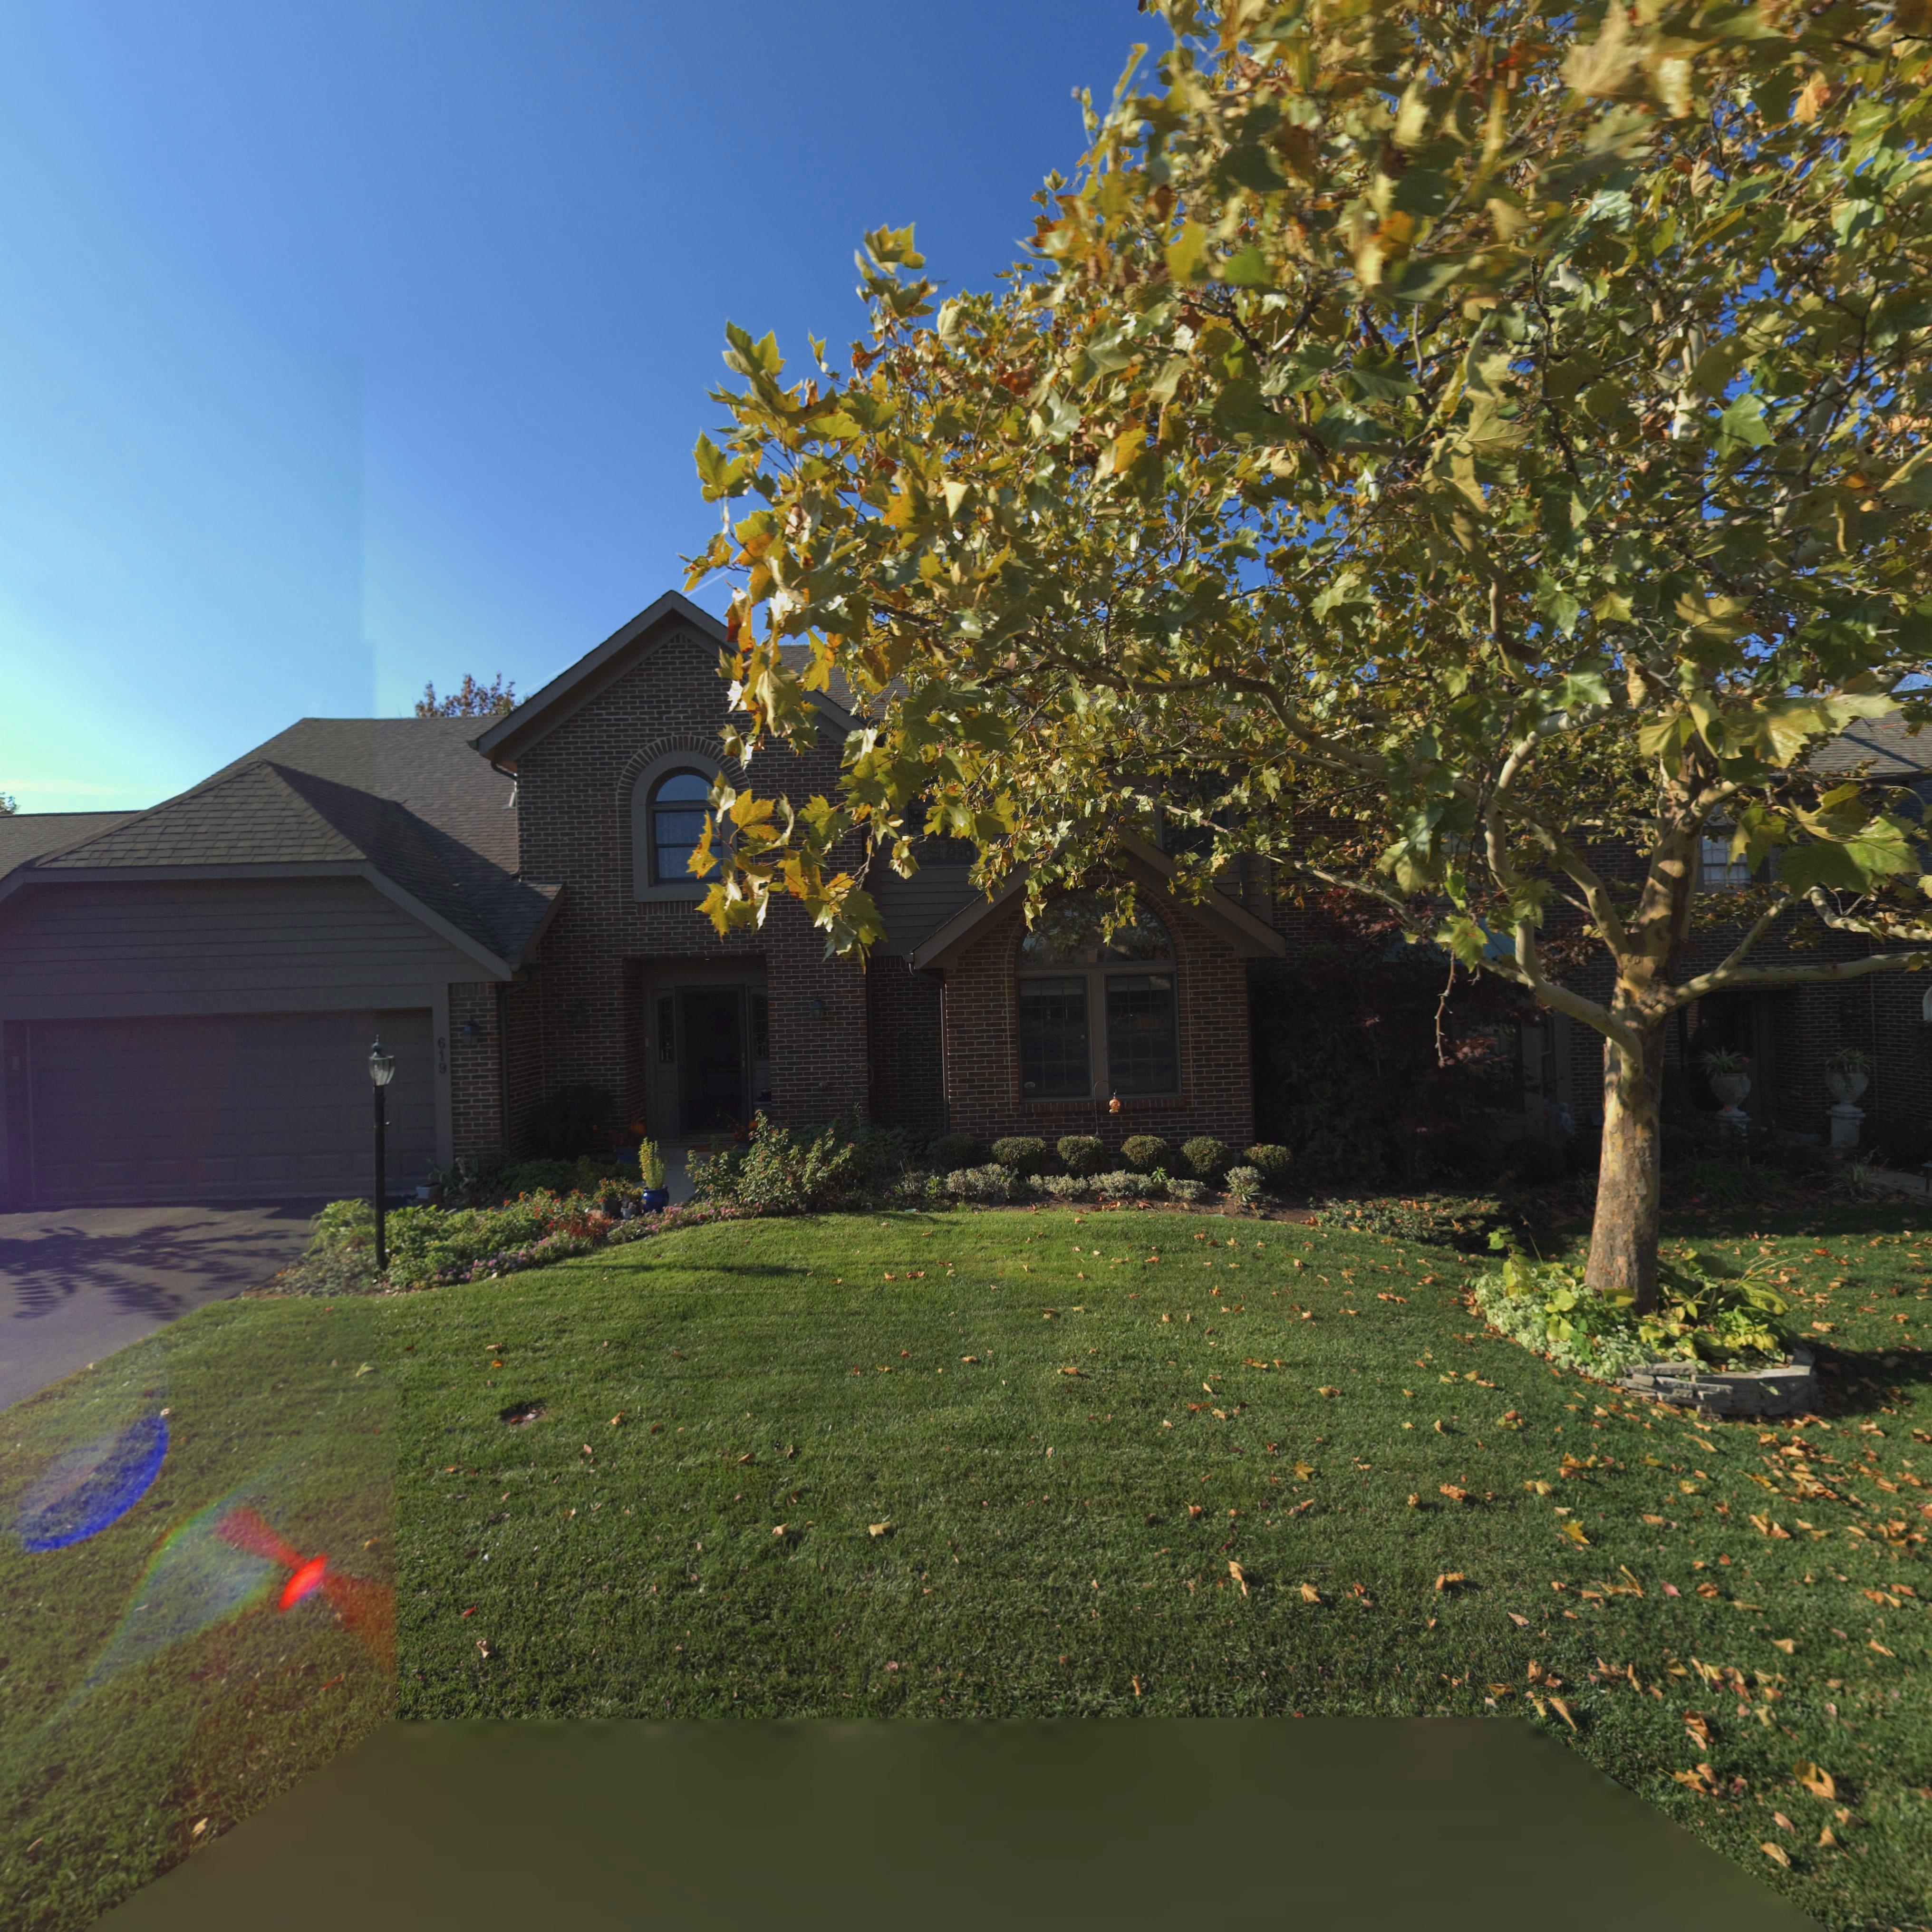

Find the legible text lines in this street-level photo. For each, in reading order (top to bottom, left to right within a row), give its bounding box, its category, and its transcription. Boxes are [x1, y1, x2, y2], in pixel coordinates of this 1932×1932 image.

[436, 1035, 448, 1076] StreetNumber: 619